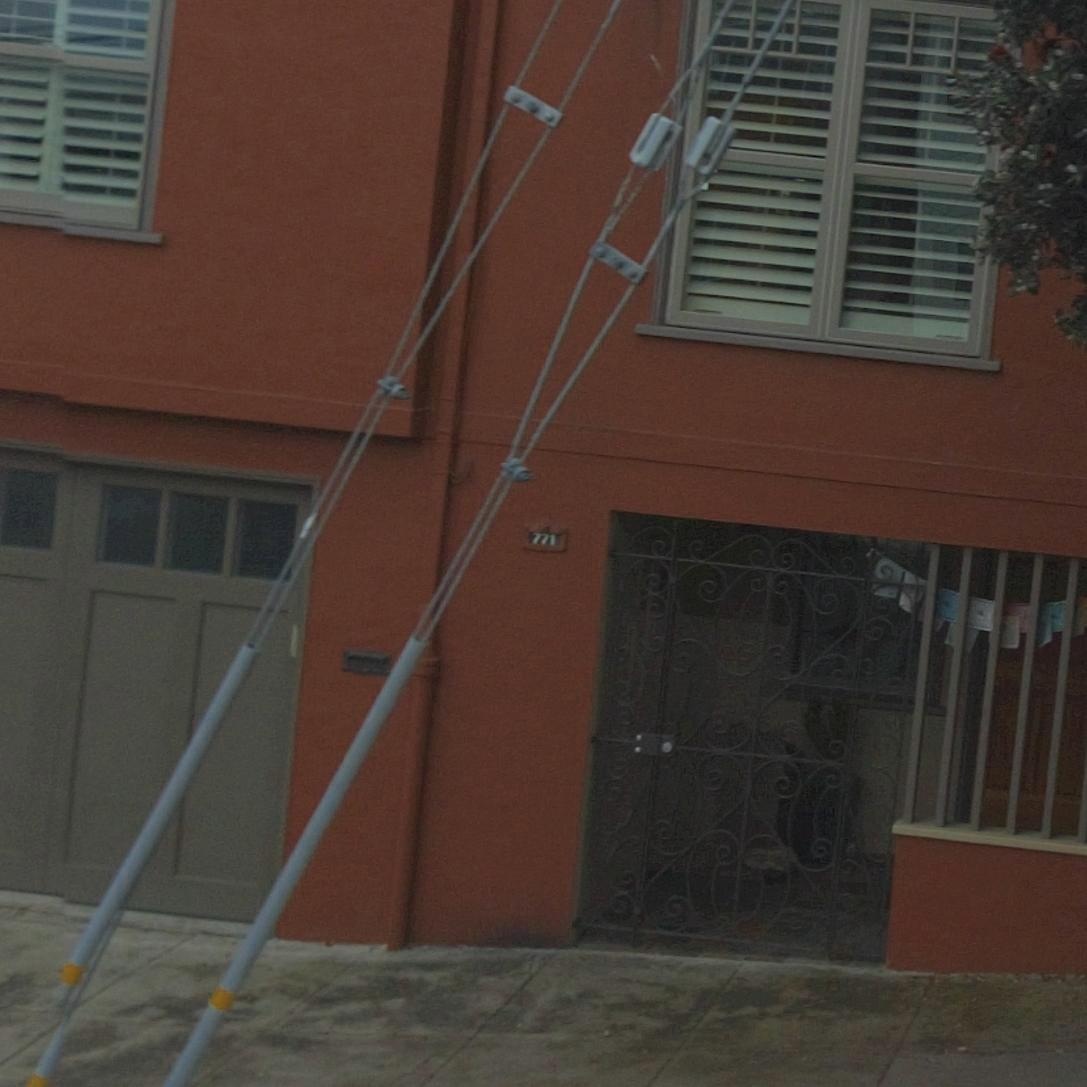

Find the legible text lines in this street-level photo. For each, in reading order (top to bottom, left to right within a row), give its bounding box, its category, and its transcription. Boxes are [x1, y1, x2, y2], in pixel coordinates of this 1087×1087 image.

[531, 532, 557, 546] StreetNumber: 771